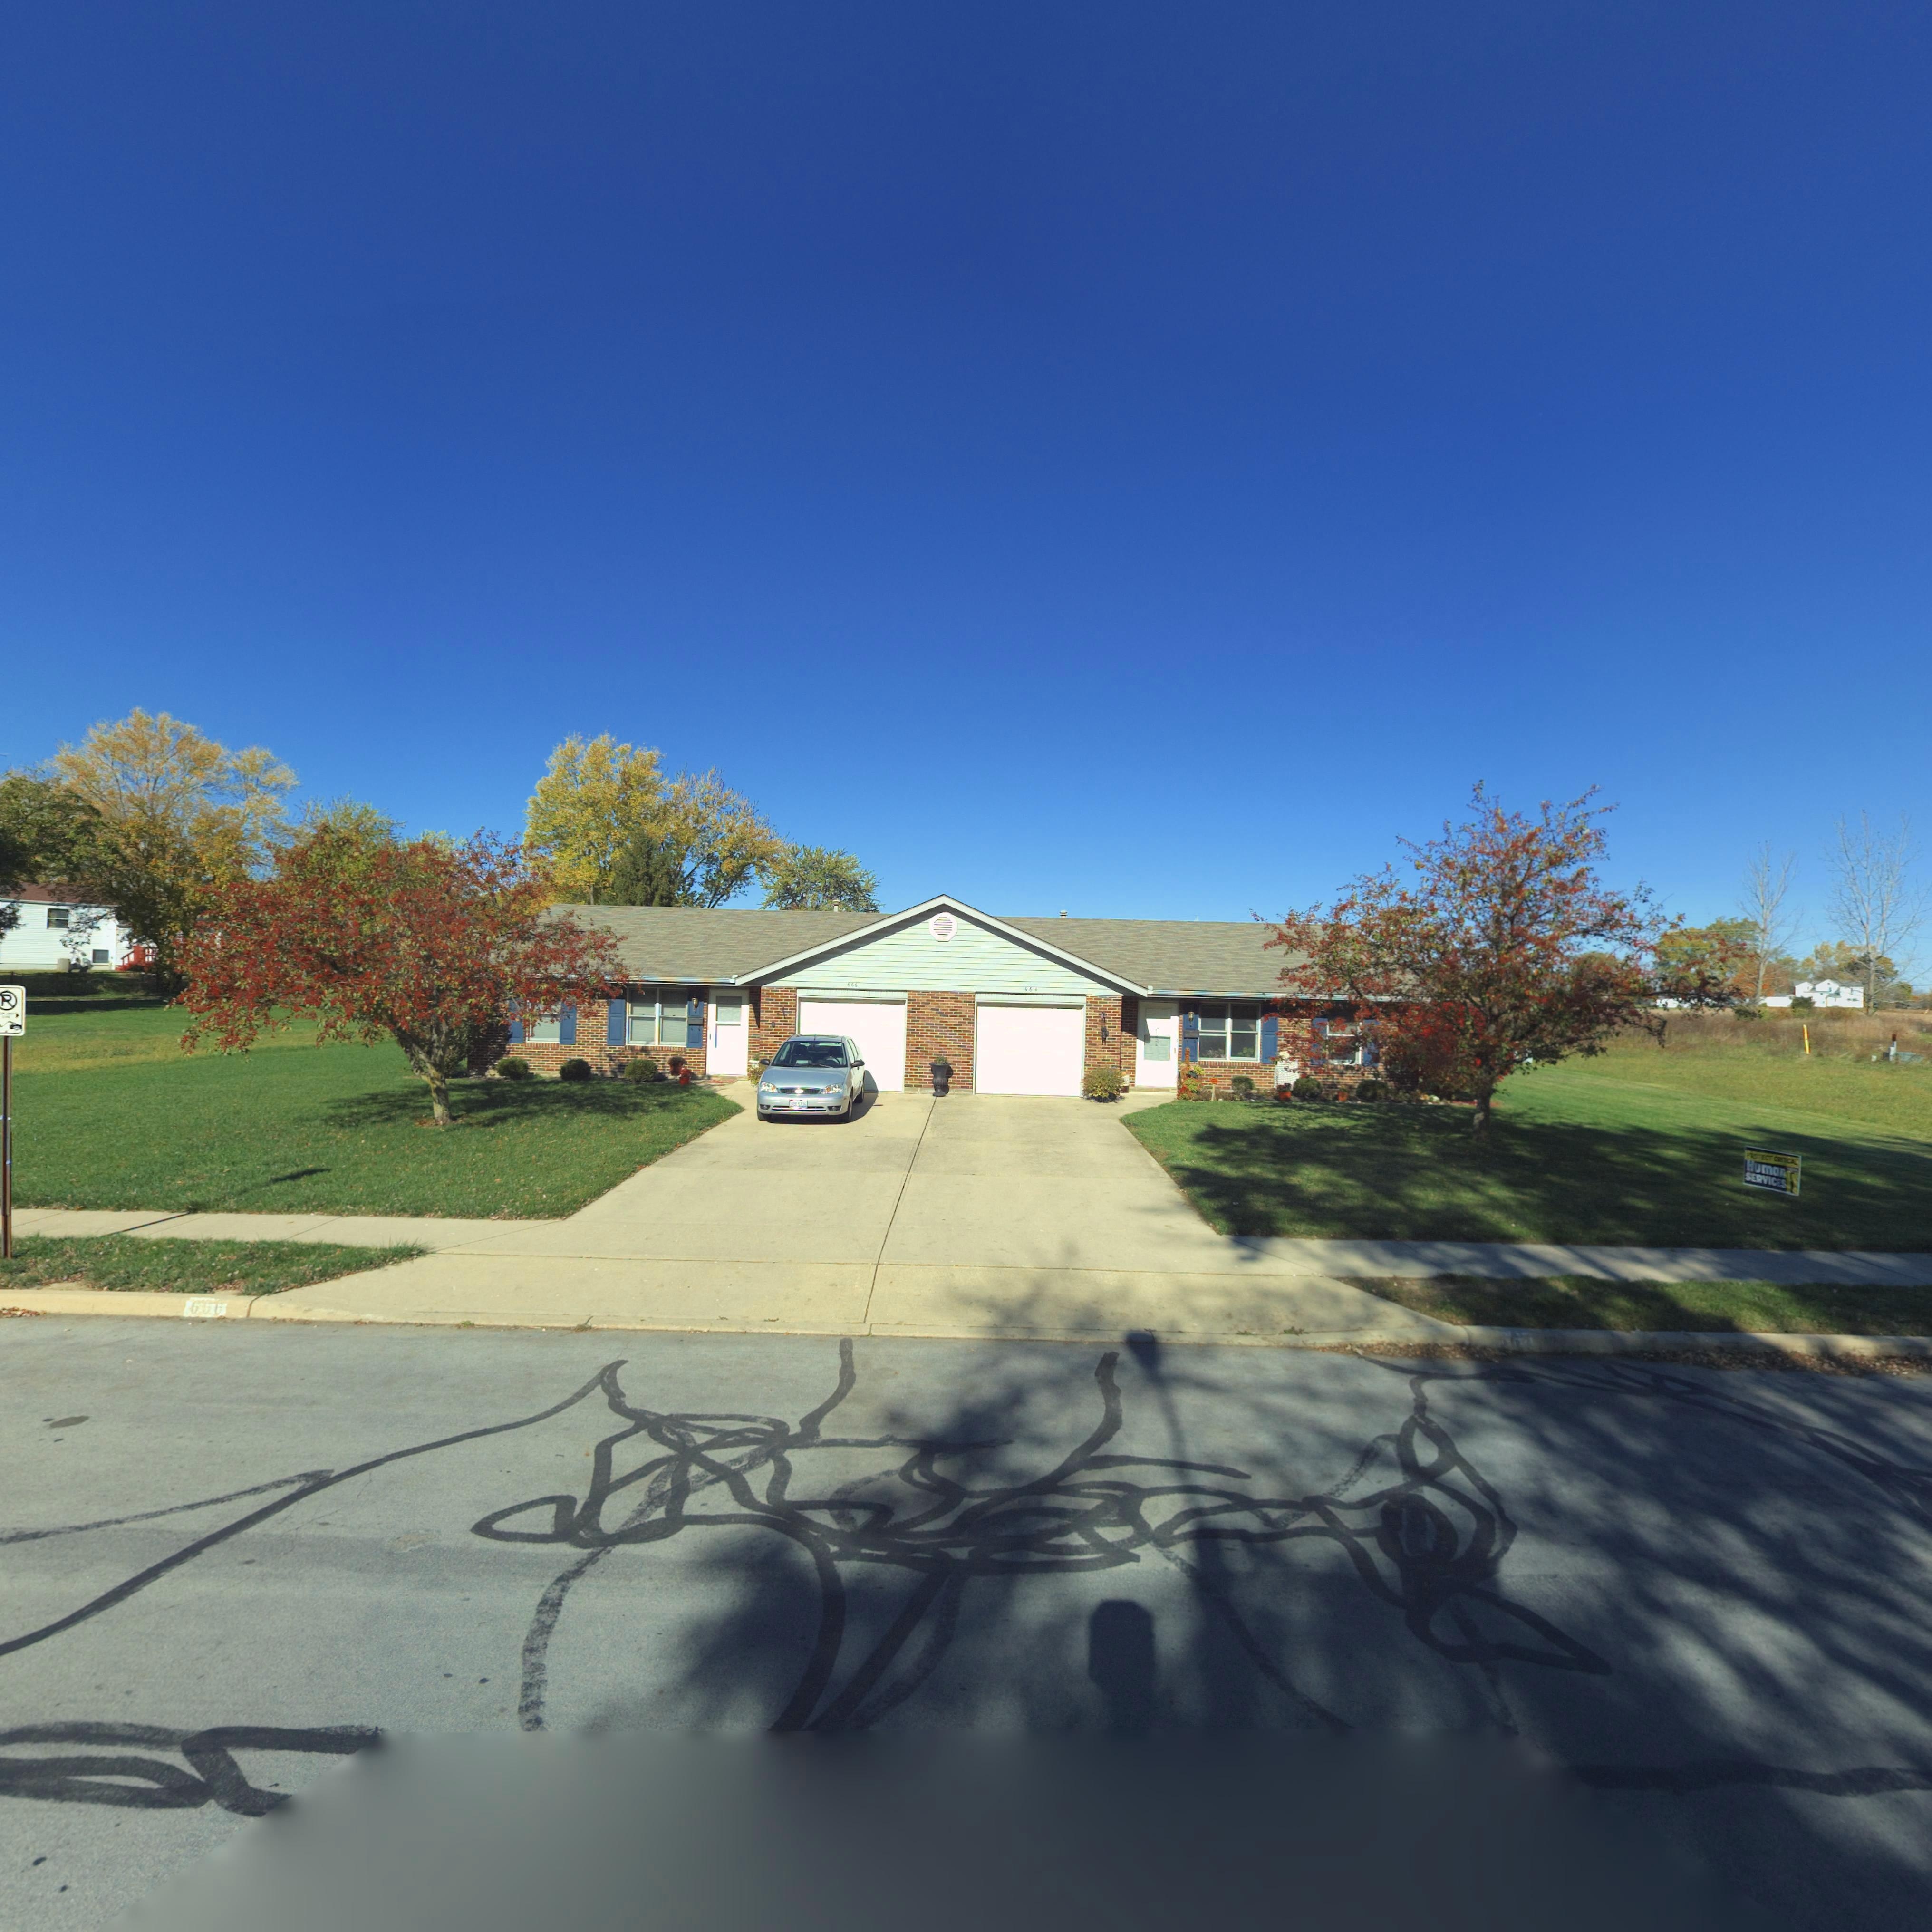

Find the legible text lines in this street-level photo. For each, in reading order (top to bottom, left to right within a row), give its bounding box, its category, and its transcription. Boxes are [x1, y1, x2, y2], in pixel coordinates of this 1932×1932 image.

[847, 982, 858, 988] StreetNumber: 666
[1024, 986, 1038, 992] StreetNumber: 664
[1745, 1158, 1789, 1180] None: Human
[1745, 1170, 1788, 1190] None: SERVICES
[190, 1299, 224, 1316] StreetNumber: 666
[1507, 1332, 1523, 1351] StreetNumber: 6